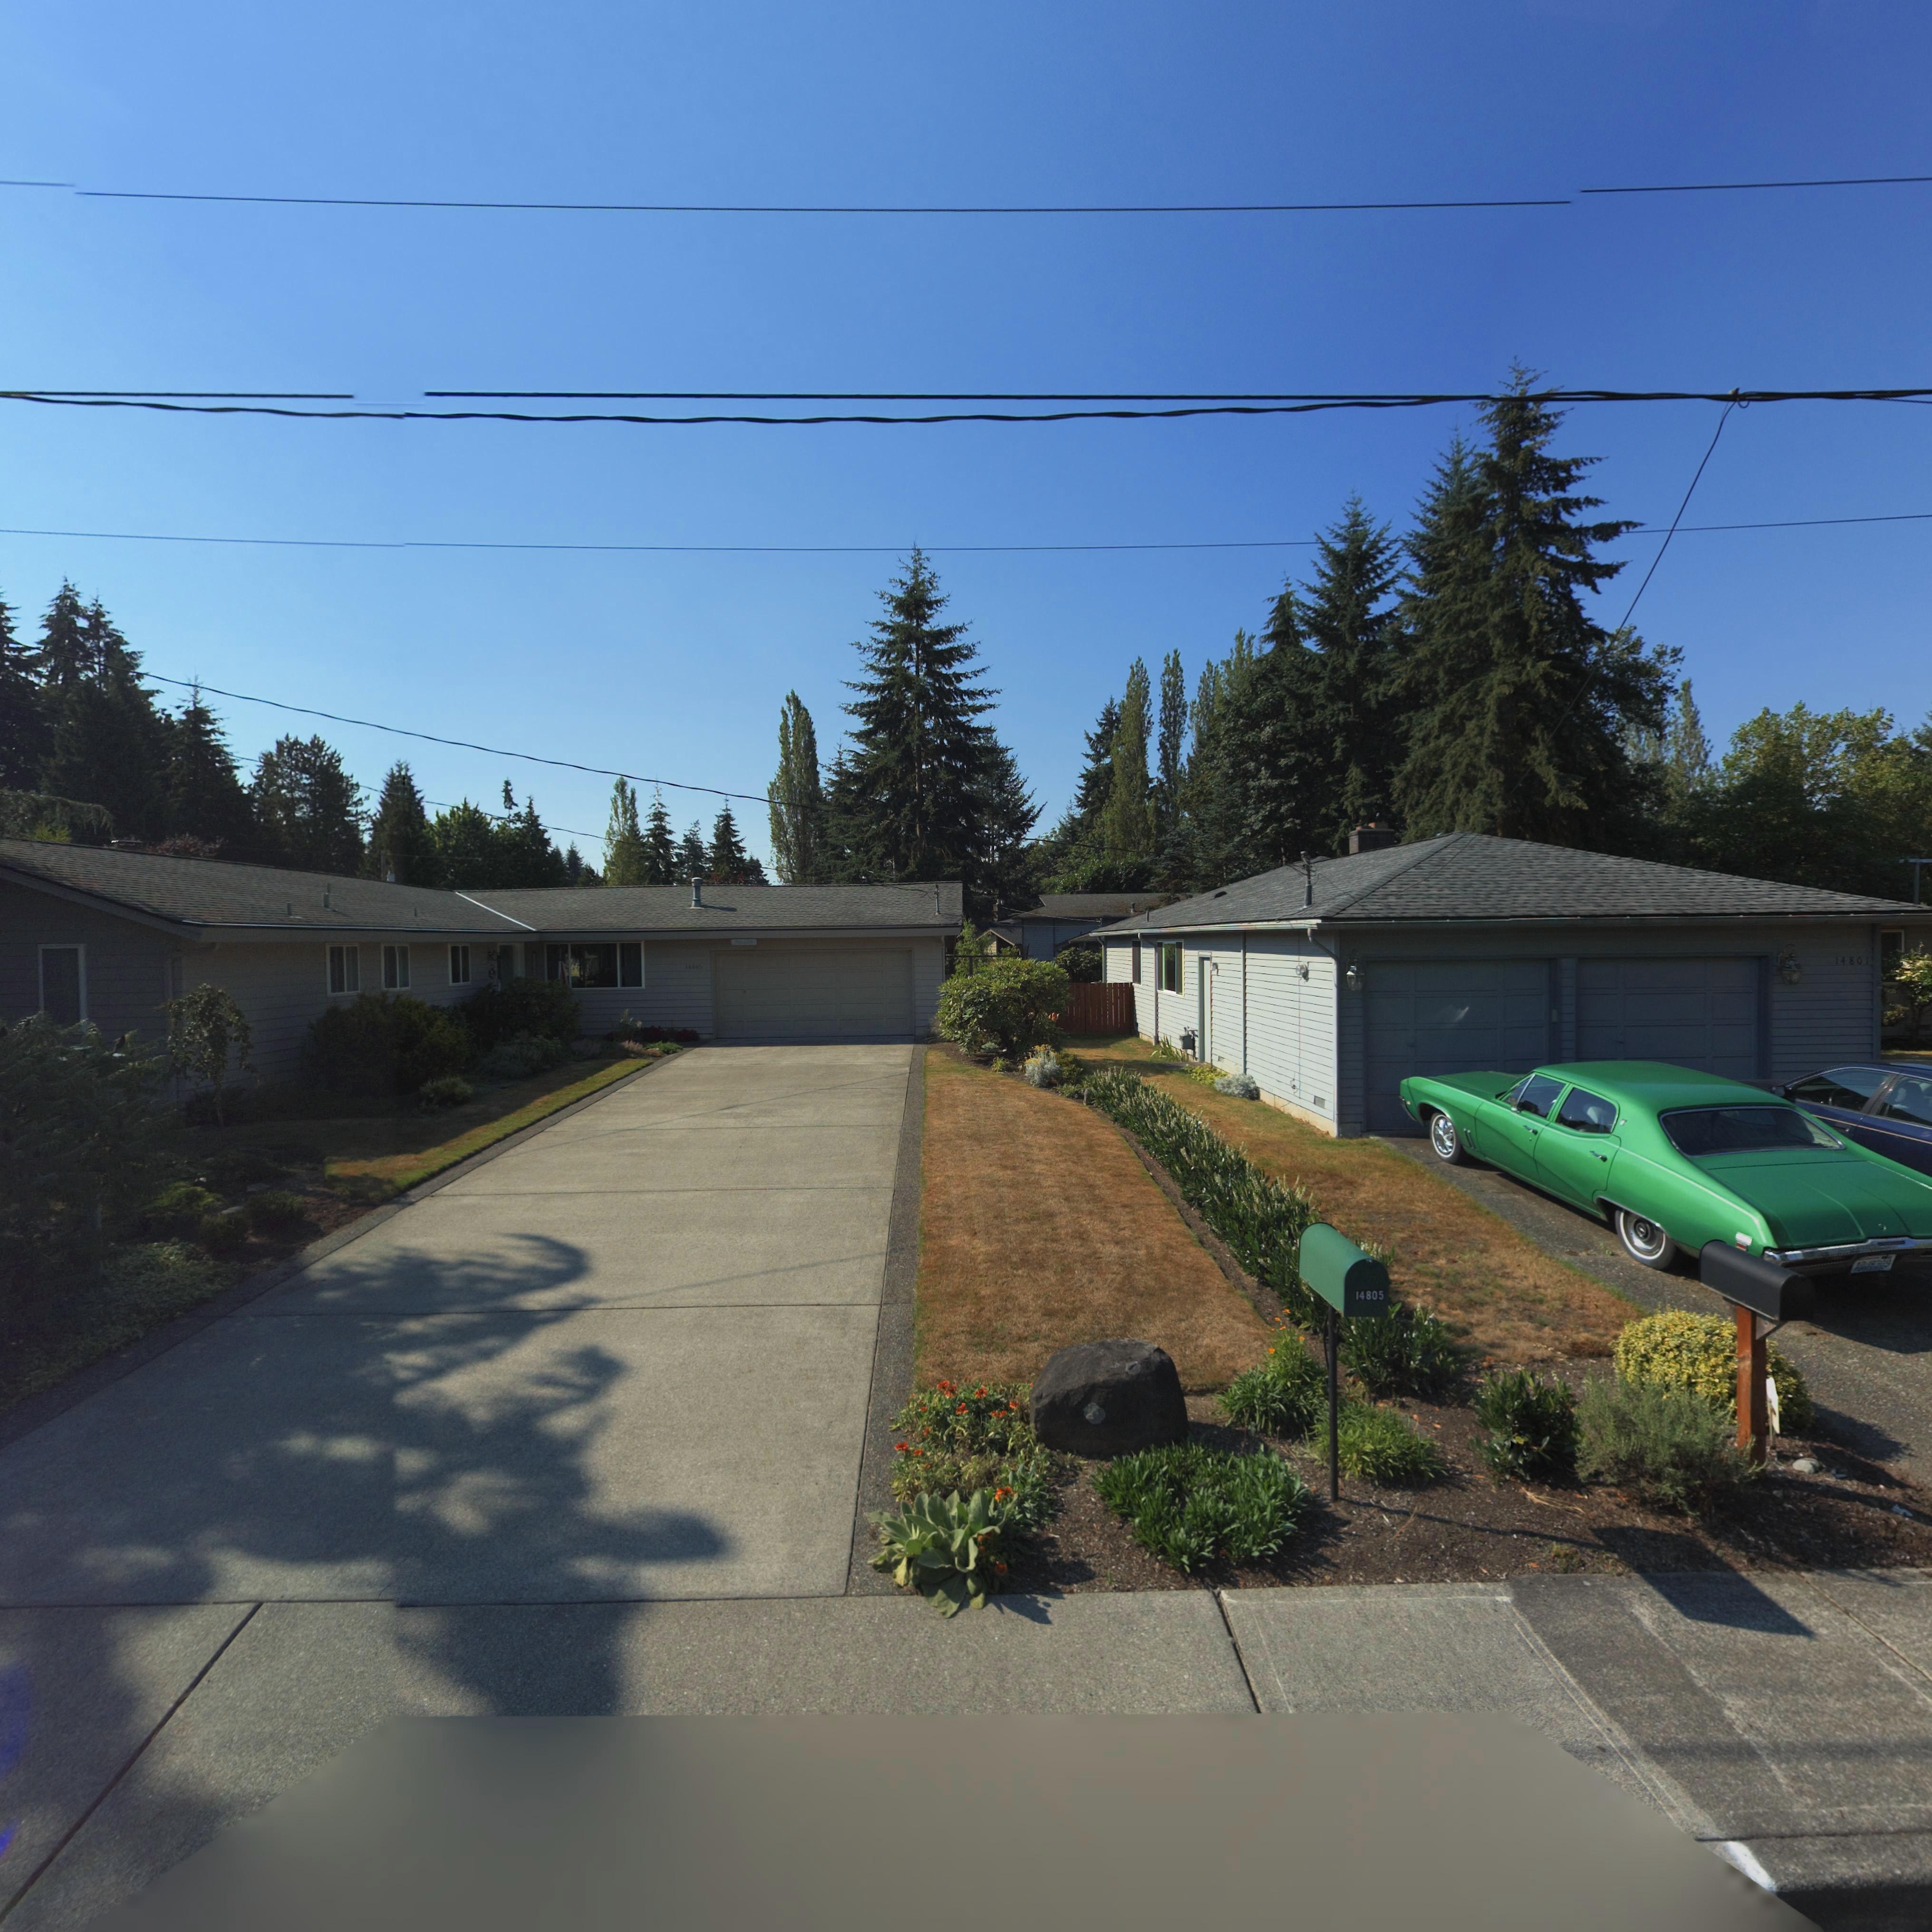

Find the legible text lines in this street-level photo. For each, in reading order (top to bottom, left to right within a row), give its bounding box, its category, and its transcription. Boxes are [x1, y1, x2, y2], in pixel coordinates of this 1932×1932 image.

[1834, 955, 1869, 966] StreetNumber: 14801
[684, 964, 703, 970] StreetNumber: 1**05
[1355, 1290, 1384, 1300] StreetNumber: 14805